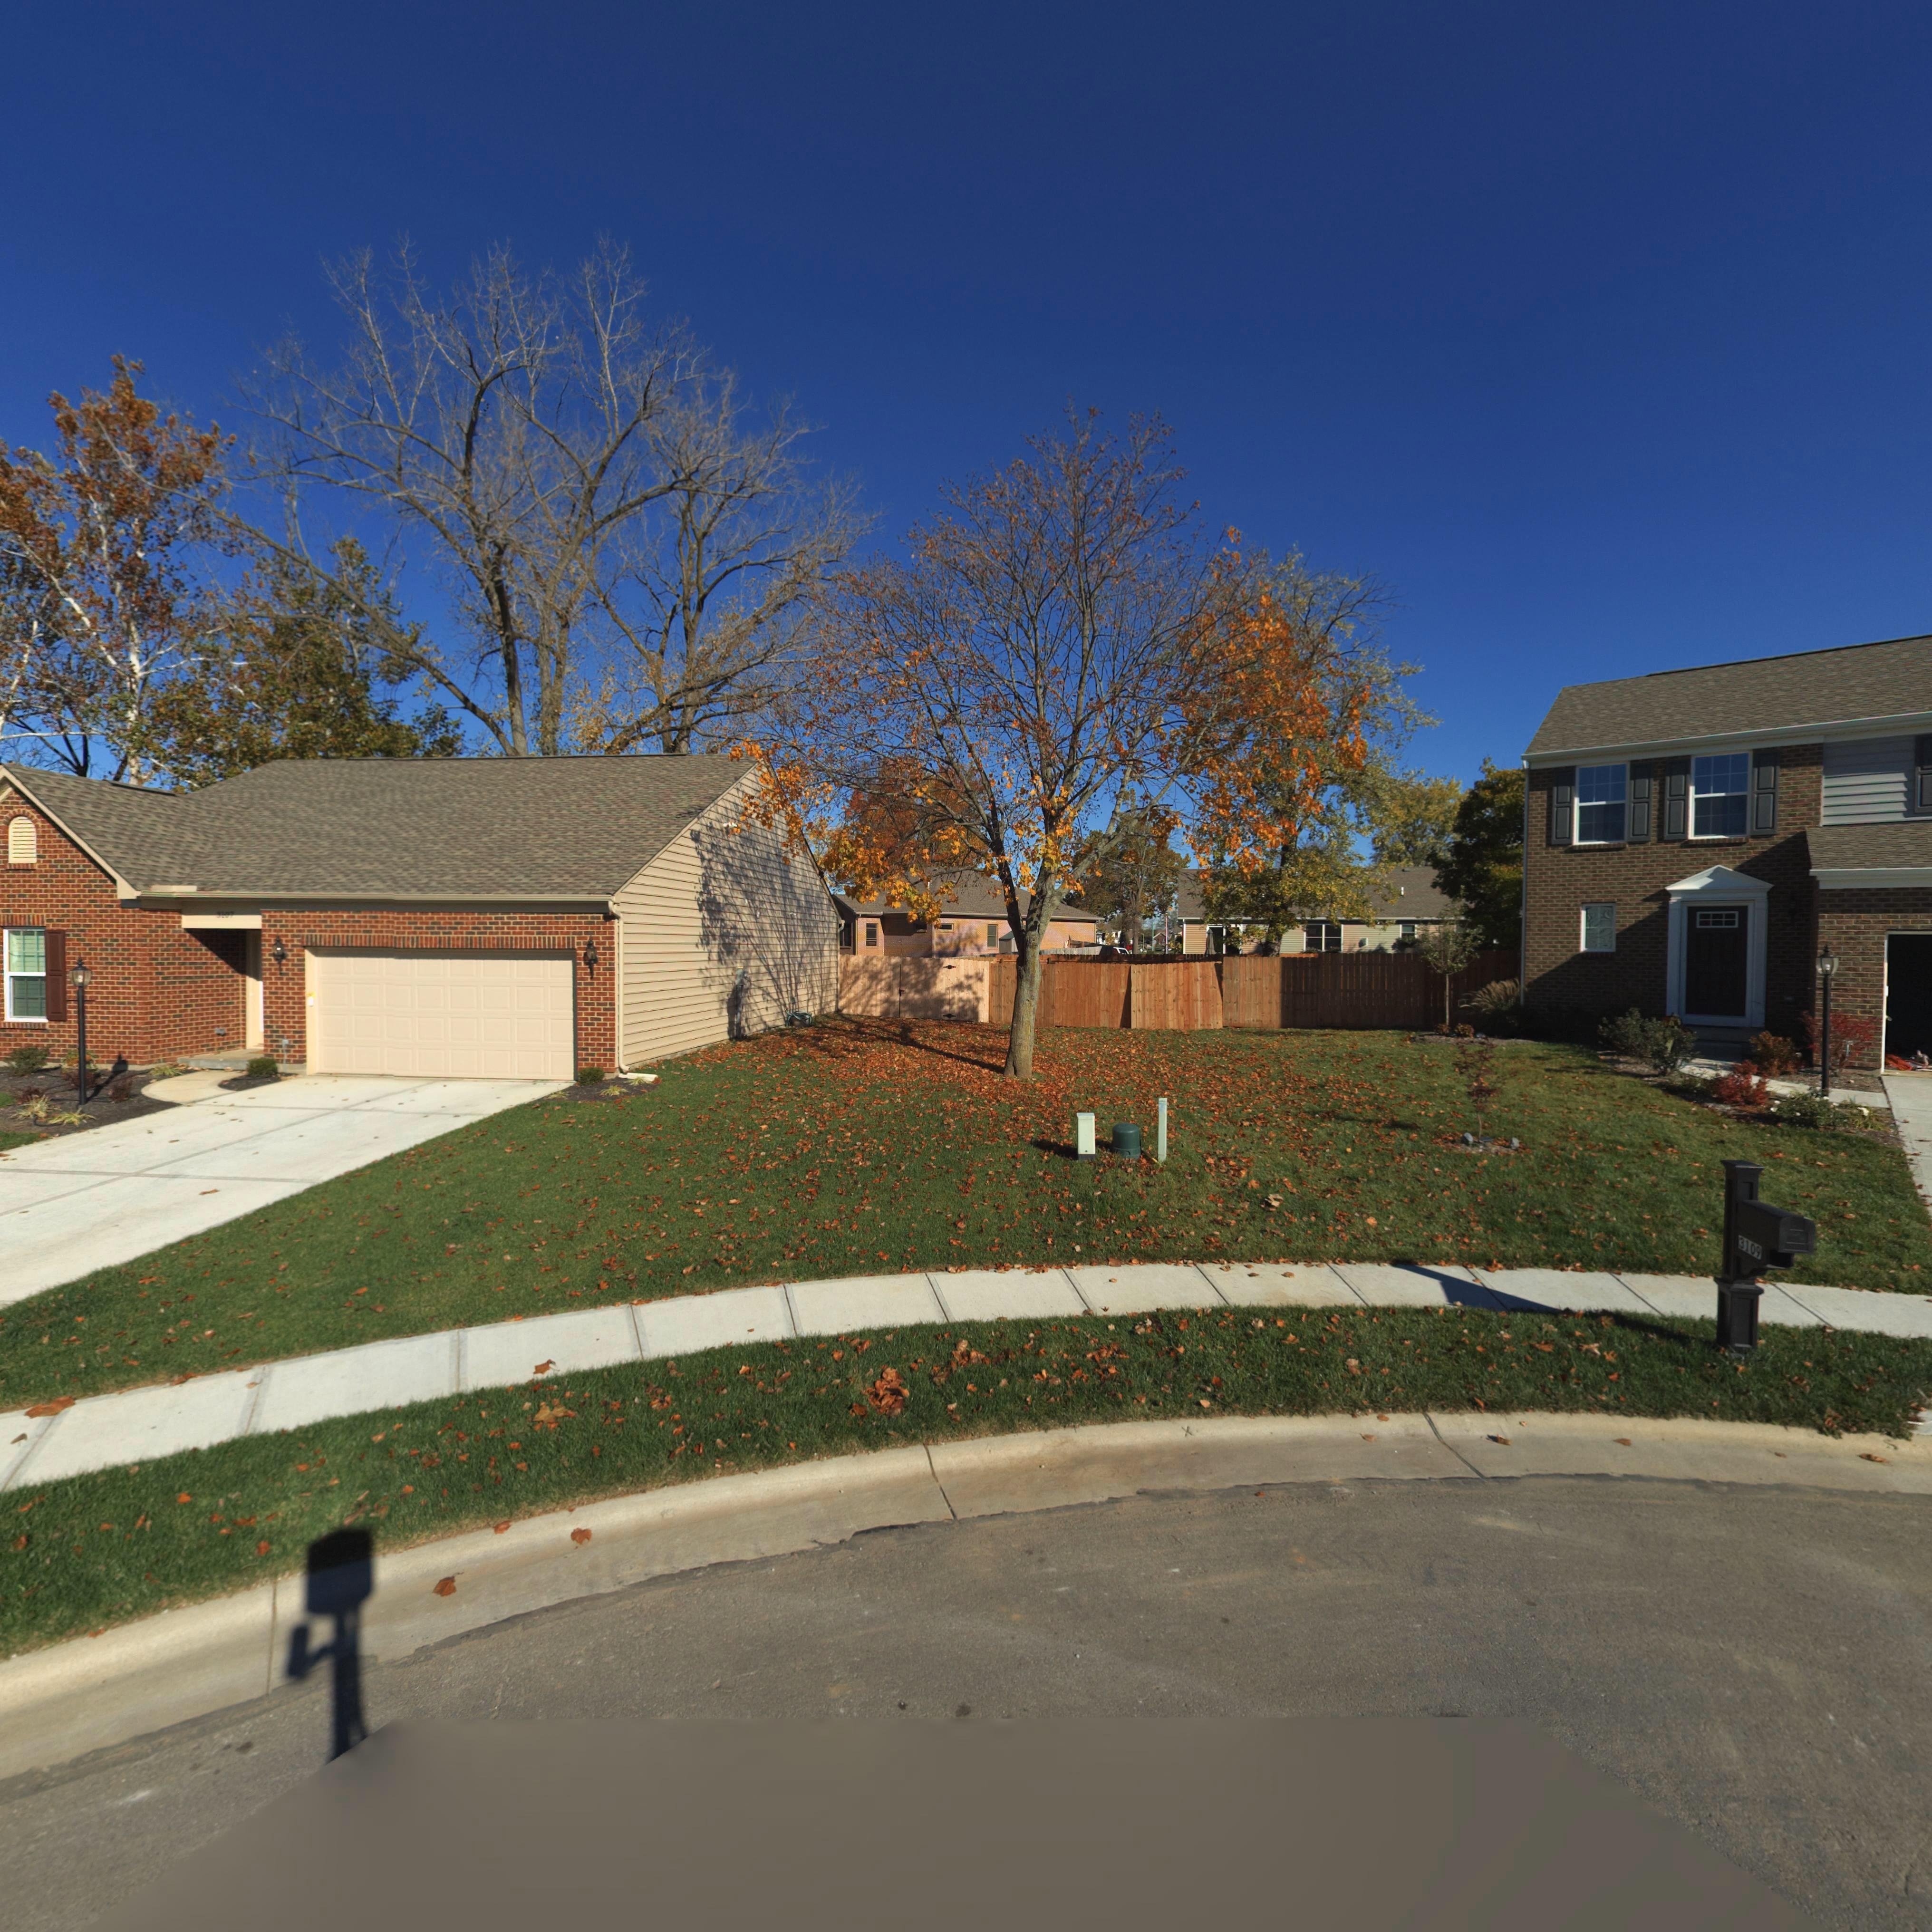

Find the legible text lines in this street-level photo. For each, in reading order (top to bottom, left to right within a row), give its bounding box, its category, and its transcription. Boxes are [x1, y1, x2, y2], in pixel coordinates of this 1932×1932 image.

[215, 910, 235, 919] StreetNumber: 3107
[1738, 1235, 1762, 1259] StreetNumber: 3109